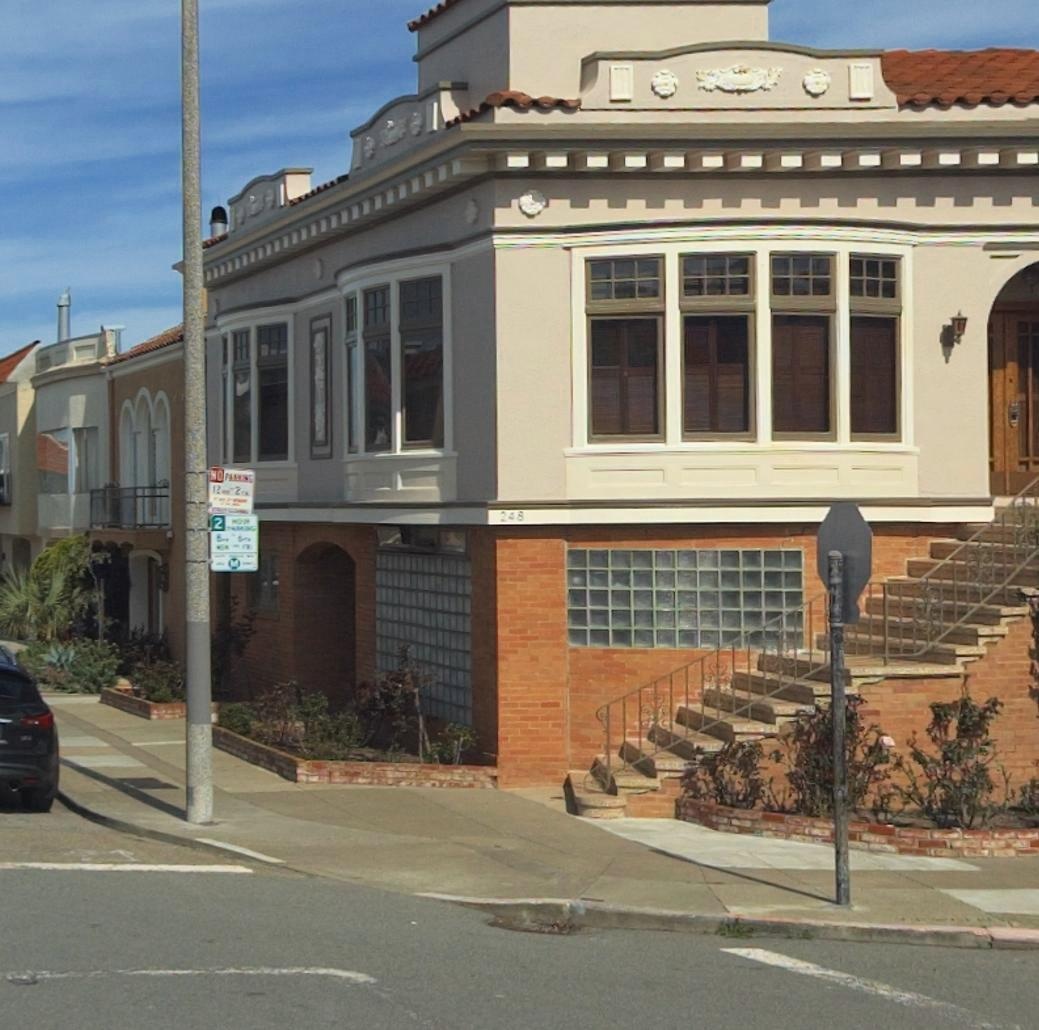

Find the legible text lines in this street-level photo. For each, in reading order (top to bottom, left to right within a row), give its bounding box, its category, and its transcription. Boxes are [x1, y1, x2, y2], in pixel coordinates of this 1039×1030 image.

[209, 469, 224, 483] None: NO
[232, 484, 243, 497] None: 2
[211, 515, 225, 531] None: 2
[499, 509, 526, 524] StreetNumber: 248